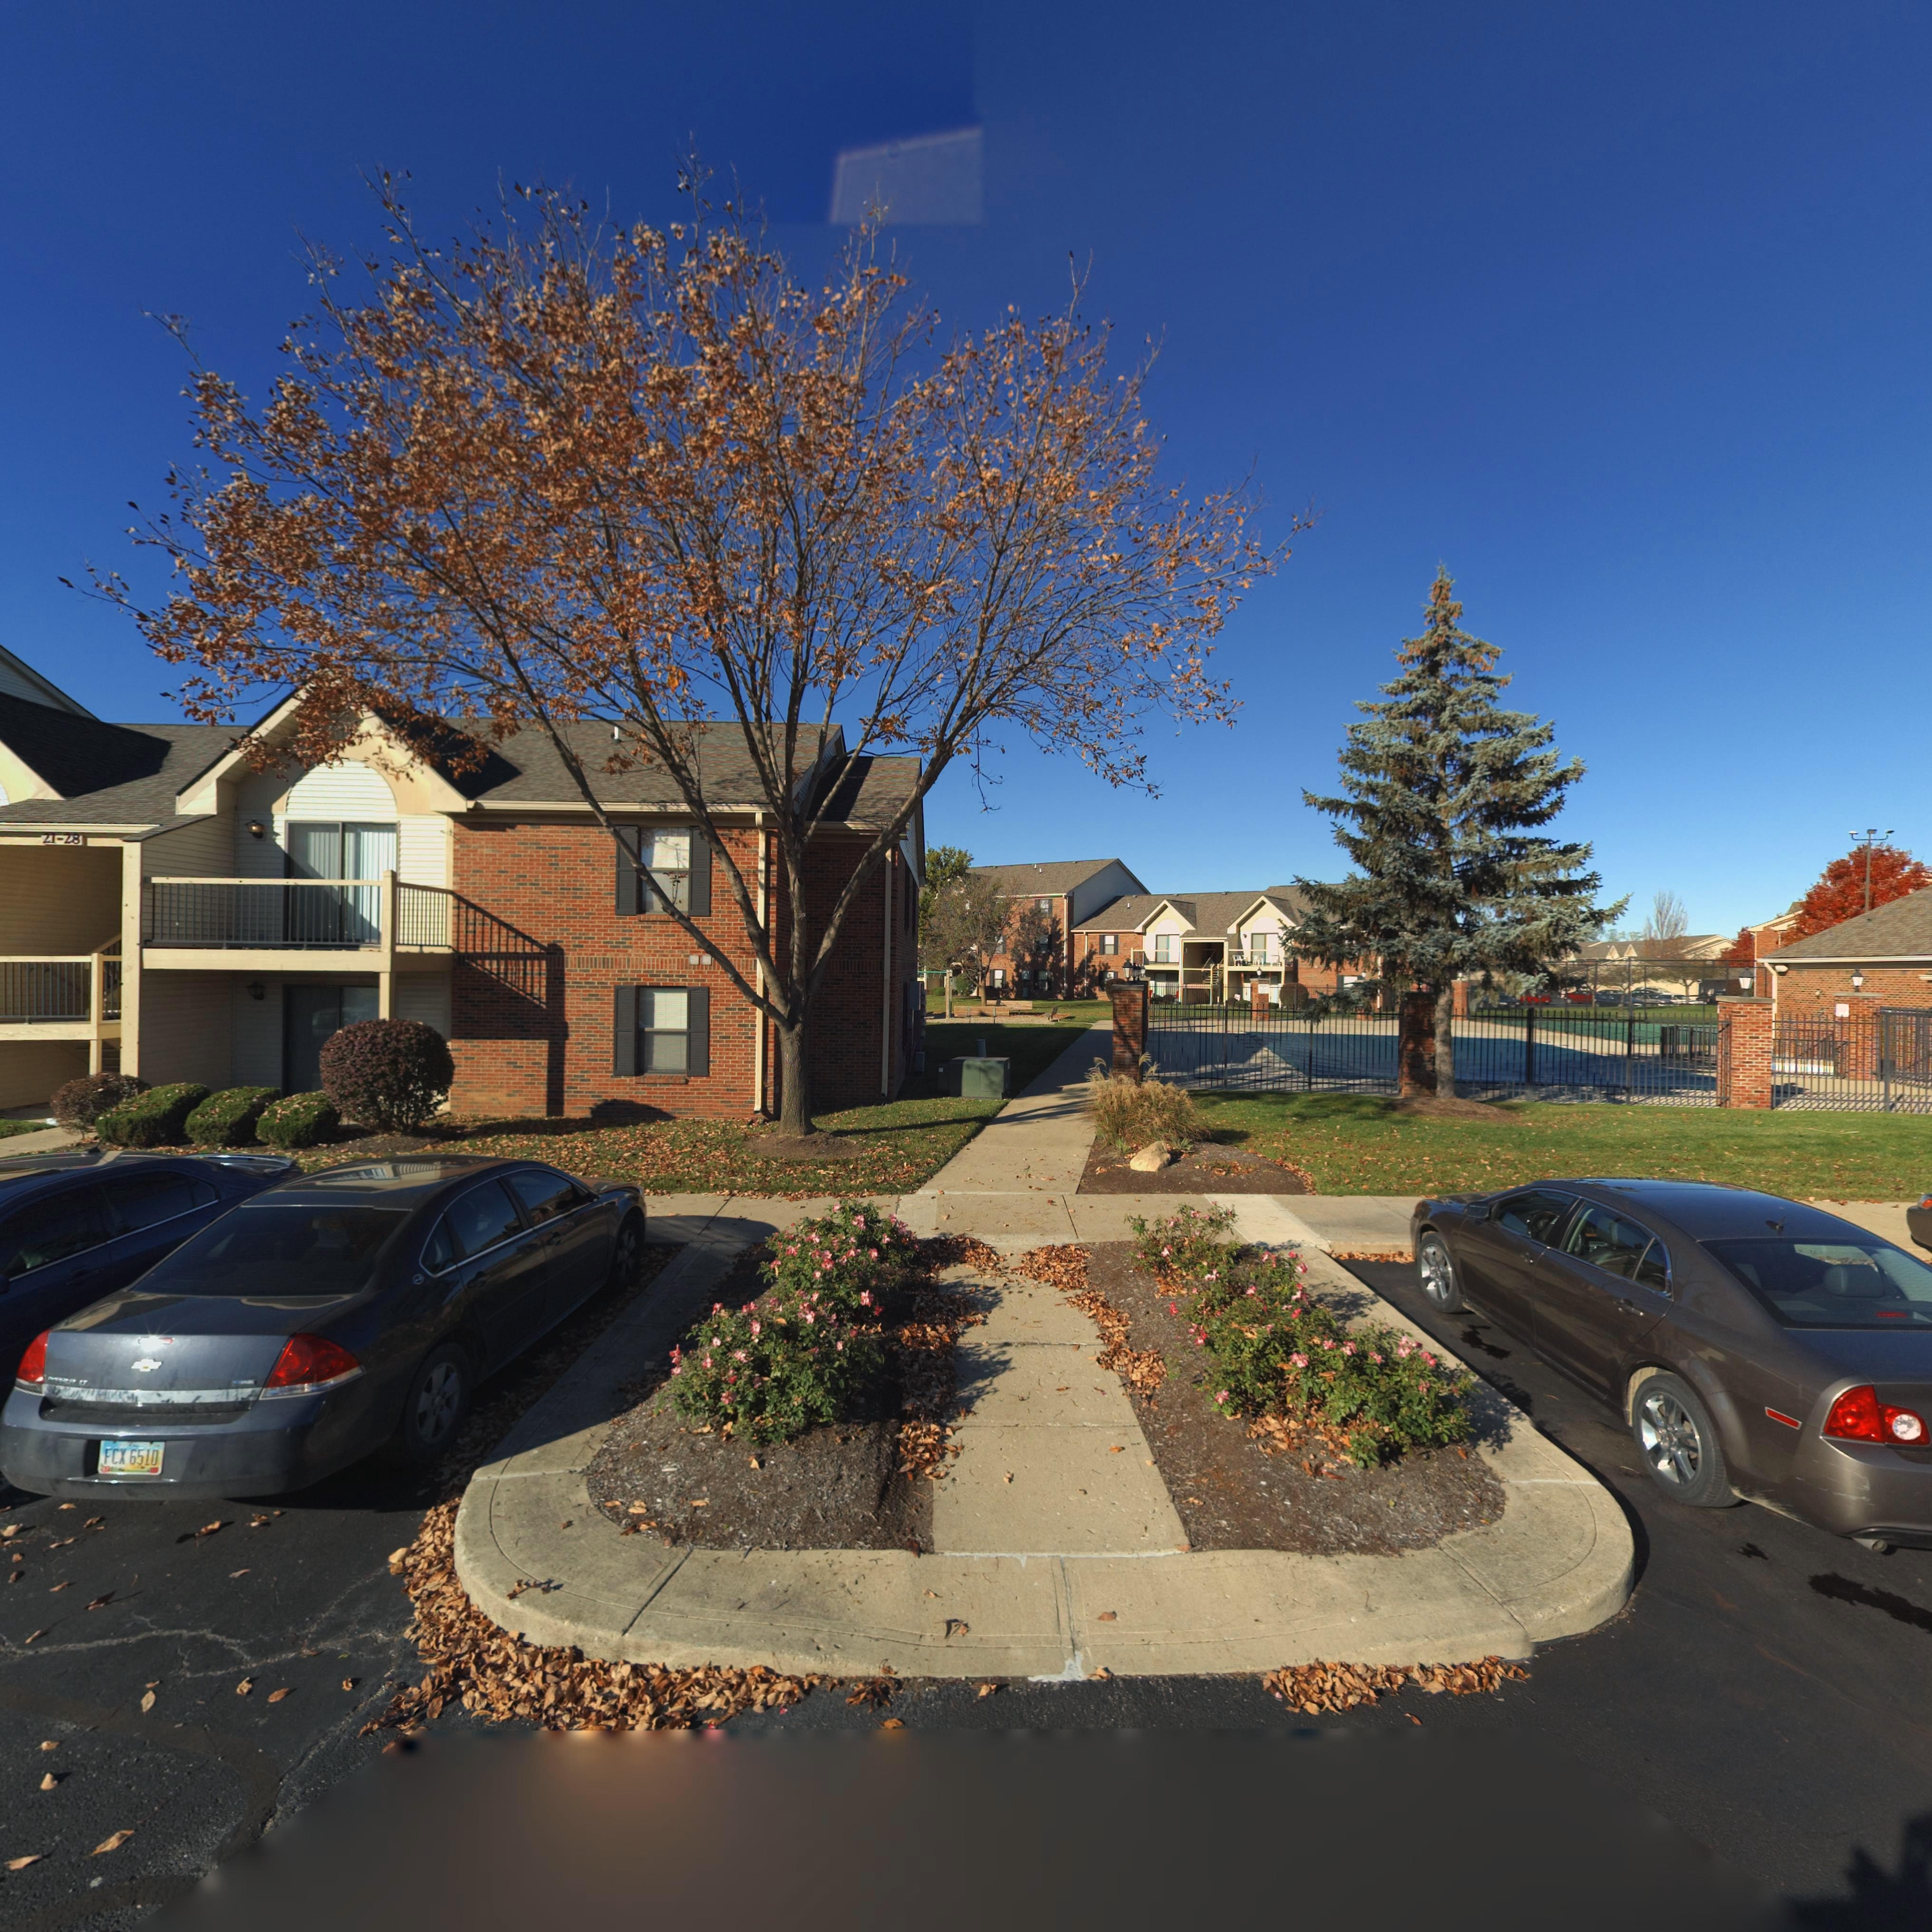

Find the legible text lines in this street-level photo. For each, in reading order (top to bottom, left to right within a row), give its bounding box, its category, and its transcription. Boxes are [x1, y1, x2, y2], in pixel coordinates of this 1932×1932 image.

[41, 831, 82, 845] StreetNumber: 21-28